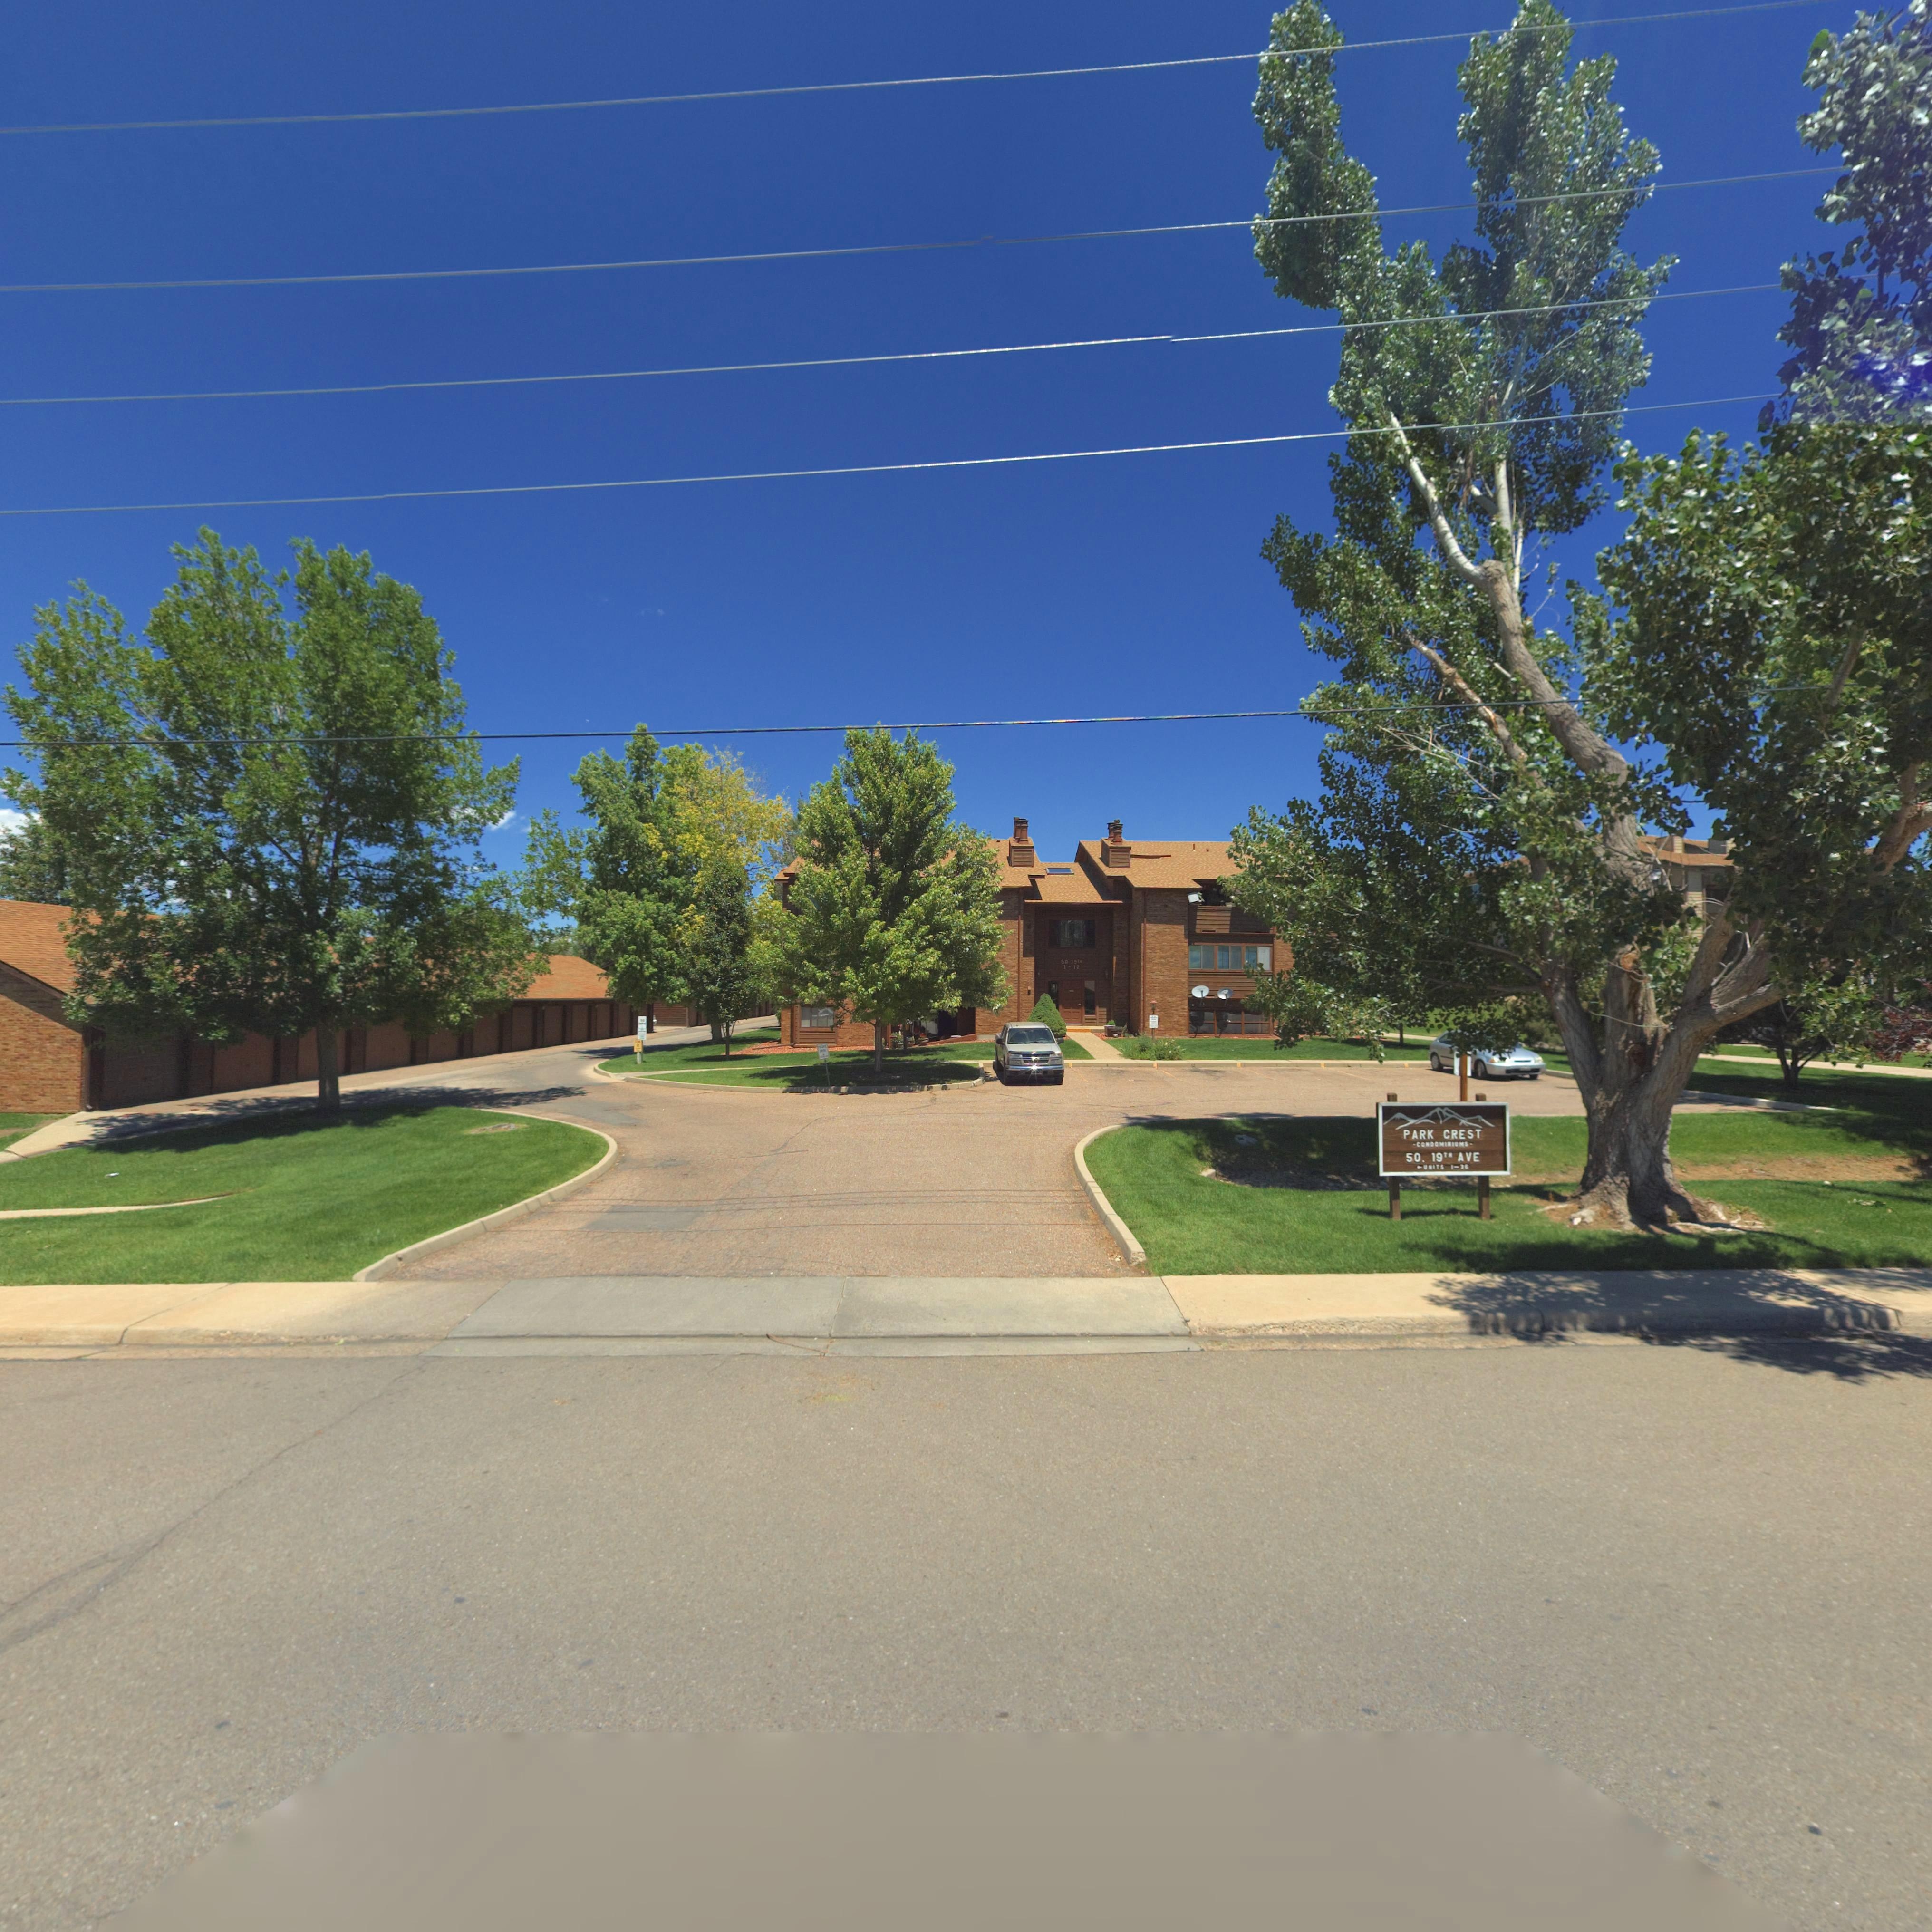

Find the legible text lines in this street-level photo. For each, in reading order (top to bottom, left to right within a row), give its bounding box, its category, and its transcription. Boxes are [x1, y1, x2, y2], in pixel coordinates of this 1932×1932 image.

[1061, 959, 1068, 964] StreetNumber: 50
[1070, 959, 1082, 964] StreetName: 19TH
[1403, 1129, 1482, 1140] BusinessName: PARK CREST
[1416, 1141, 1468, 1147] BusinessName: CONDOMINIUMS
[1405, 1152, 1421, 1163] StreetNumber: 50
[1431, 1152, 1480, 1162] StreetName: 19TH AVE
[1423, 1164, 1469, 1170] SecondaryUnitDesignator: UNITS 1-36